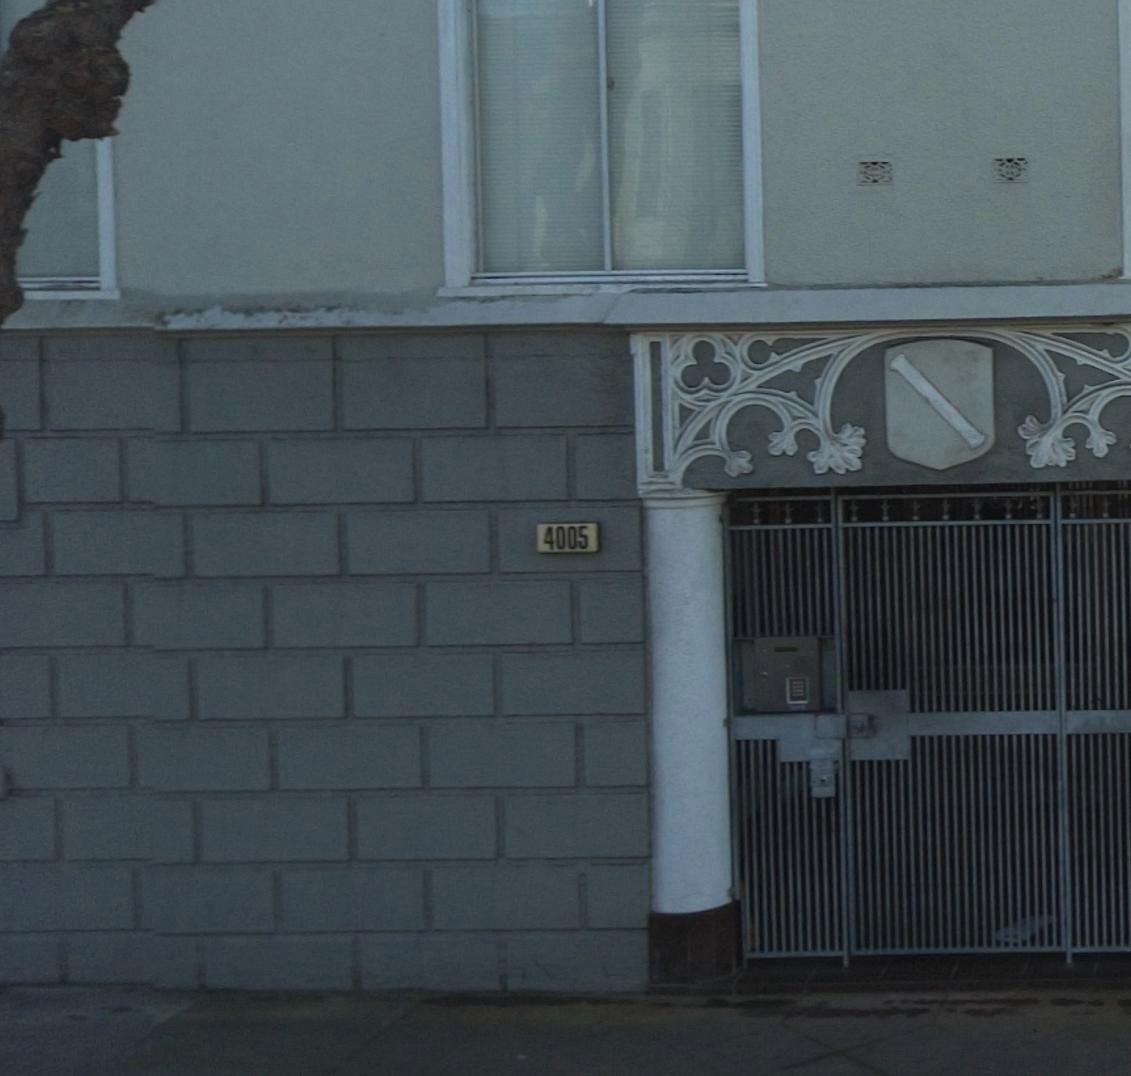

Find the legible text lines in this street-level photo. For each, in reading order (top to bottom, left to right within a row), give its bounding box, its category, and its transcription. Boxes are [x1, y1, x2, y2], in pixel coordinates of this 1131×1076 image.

[541, 523, 591, 553] StreetNumber: 4005